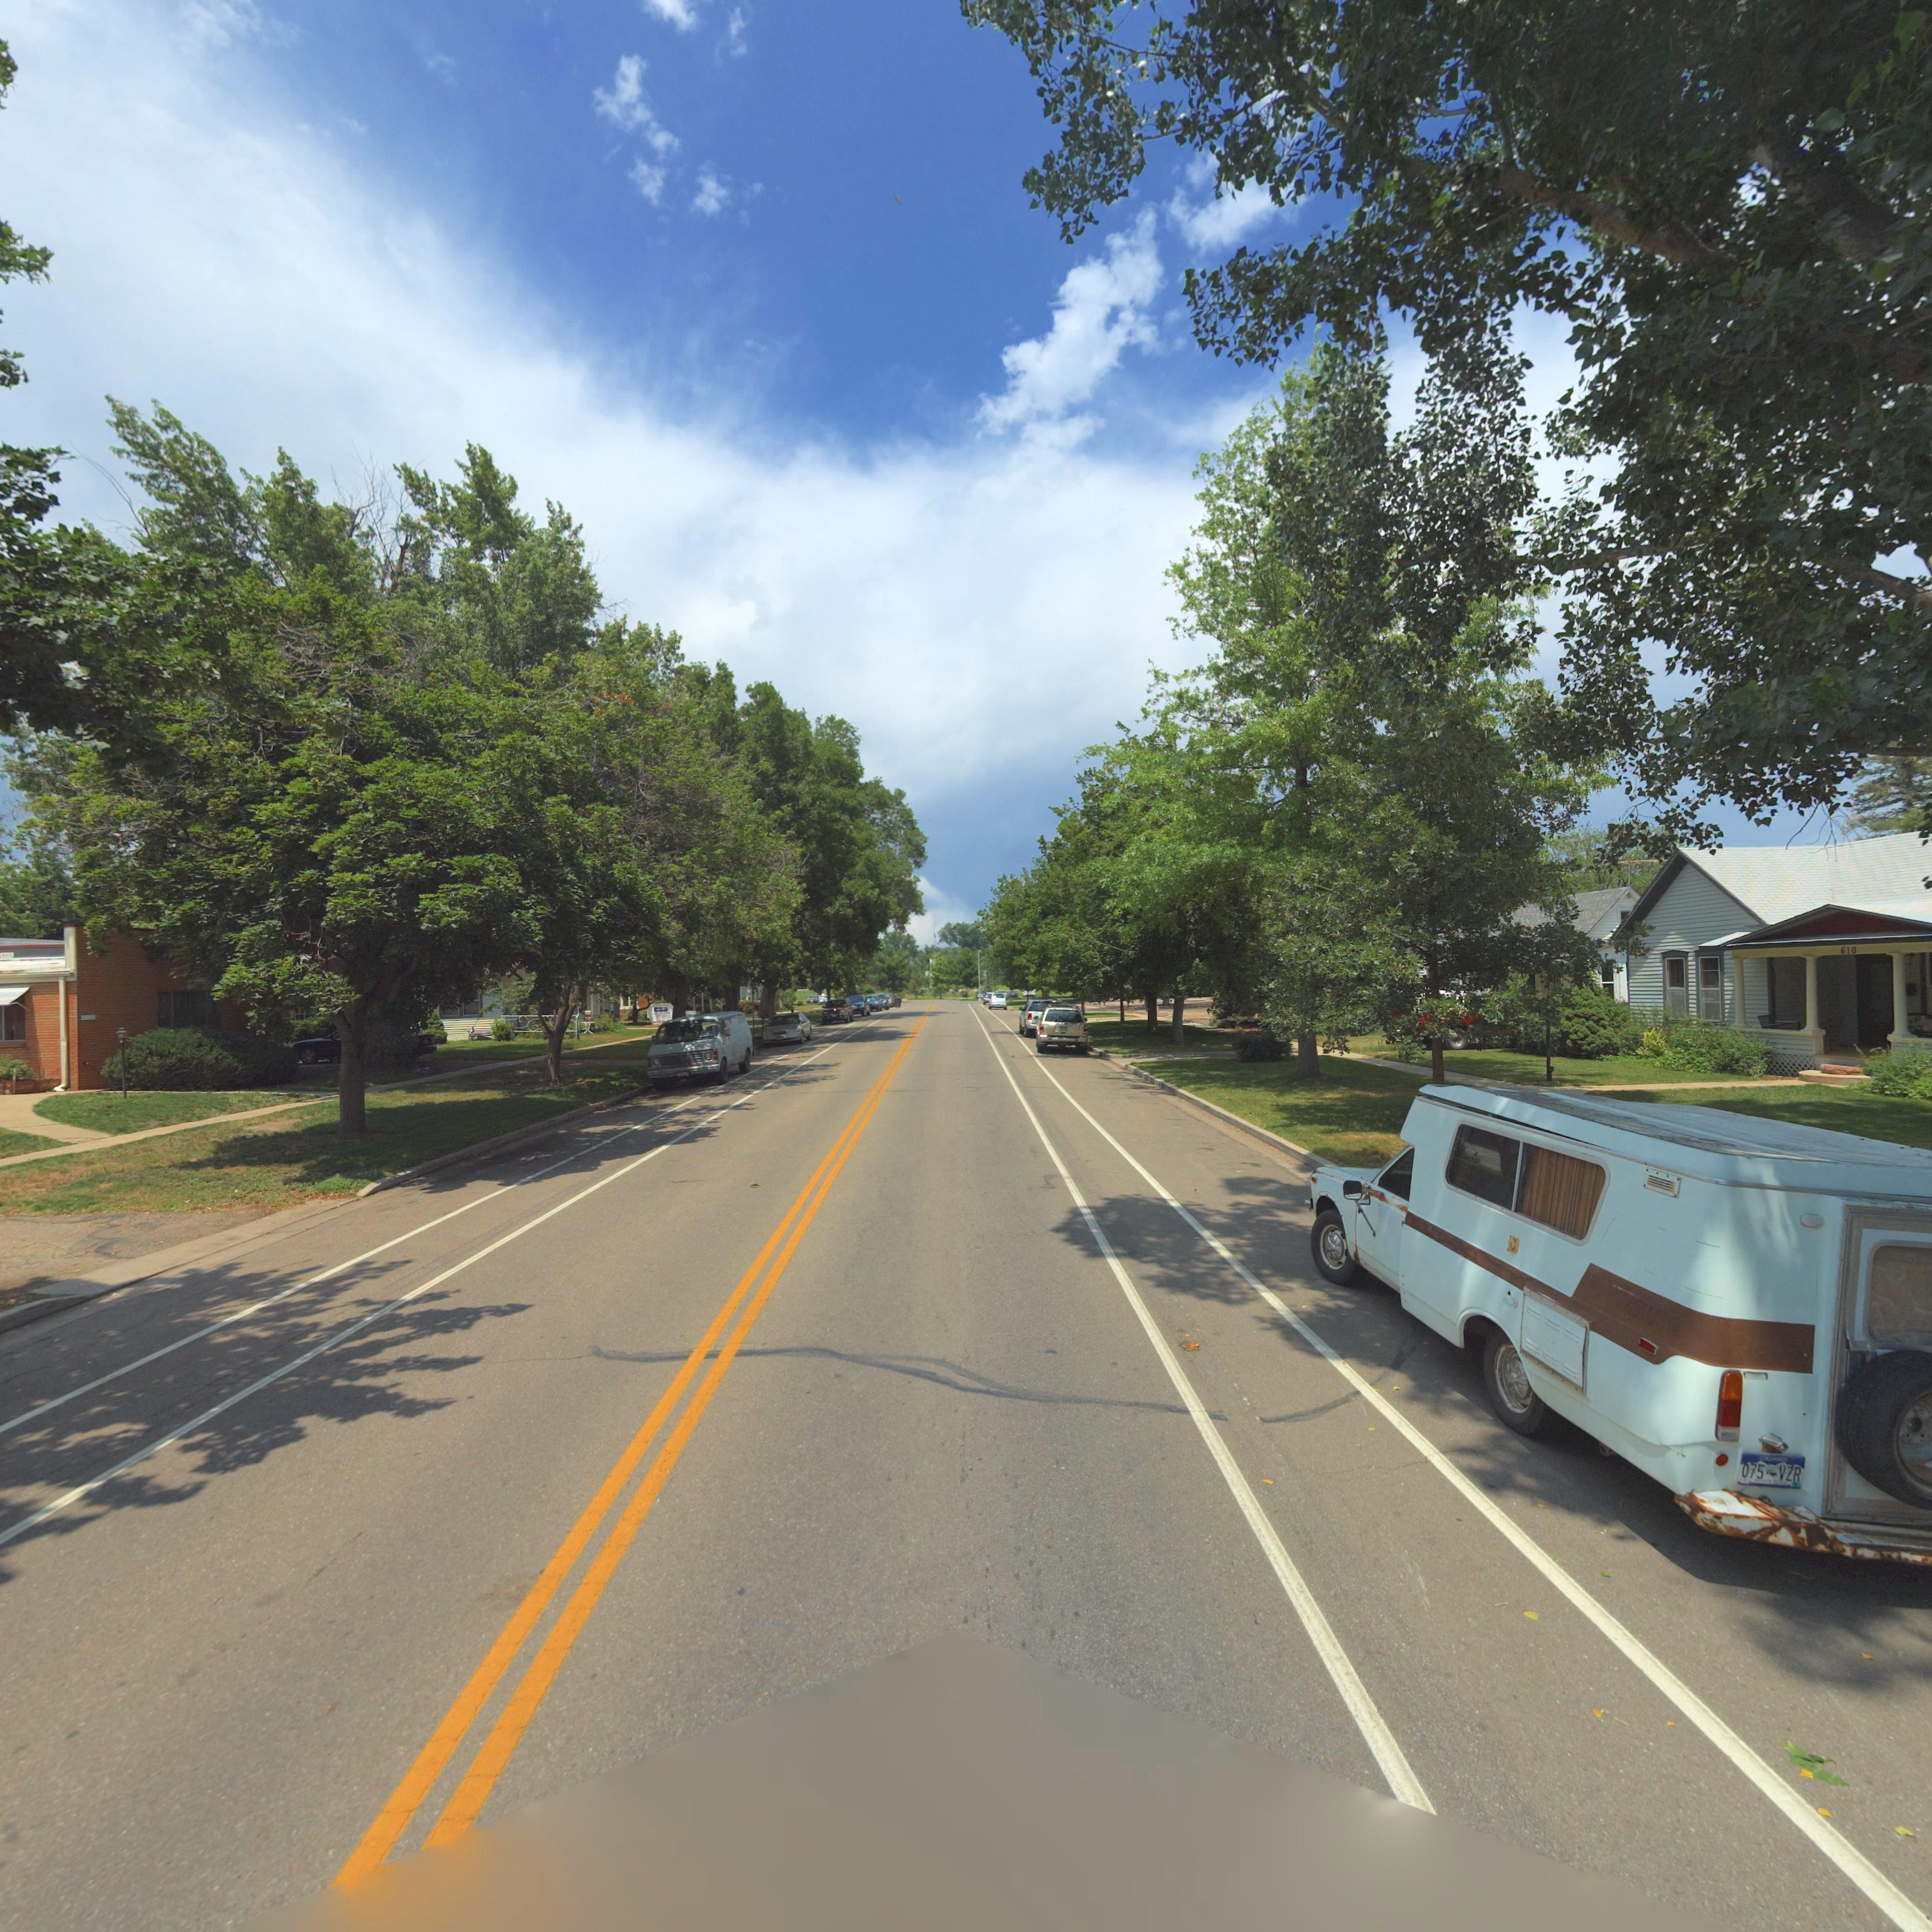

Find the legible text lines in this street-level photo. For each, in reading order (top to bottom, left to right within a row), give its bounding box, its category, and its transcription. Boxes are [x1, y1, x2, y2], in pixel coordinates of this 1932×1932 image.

[1841, 946, 1856, 955] StreetNumber: 610